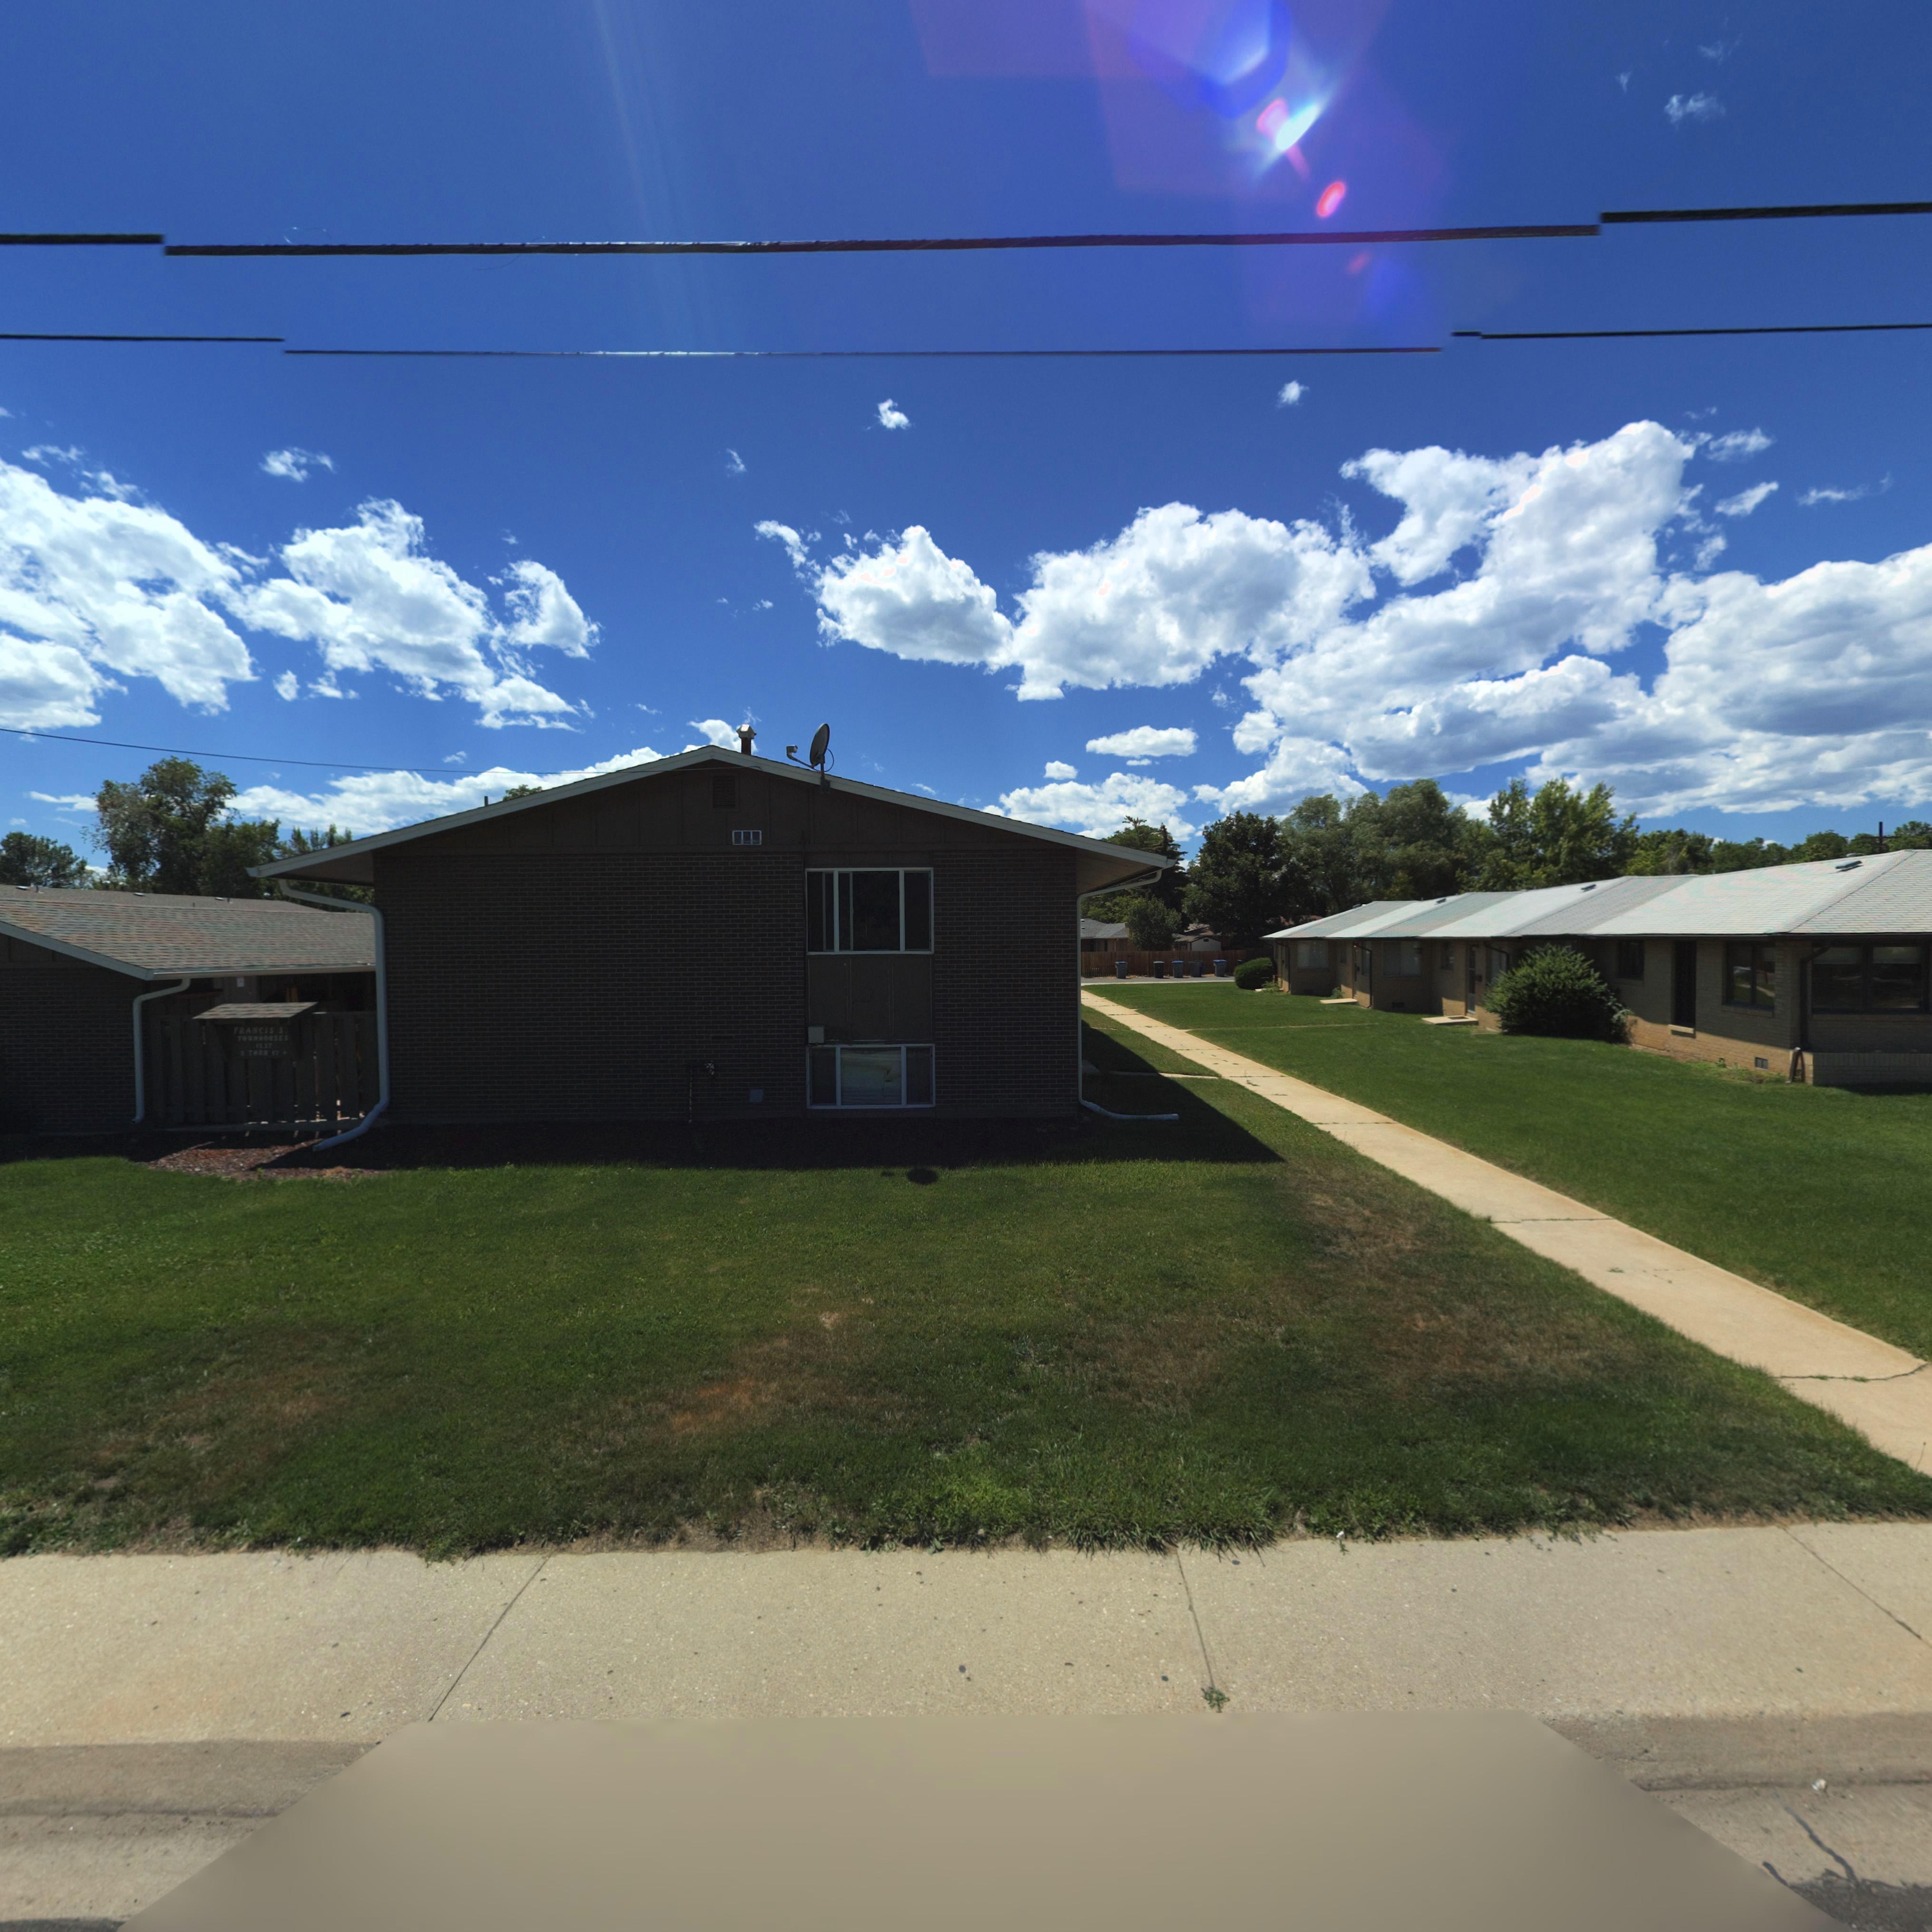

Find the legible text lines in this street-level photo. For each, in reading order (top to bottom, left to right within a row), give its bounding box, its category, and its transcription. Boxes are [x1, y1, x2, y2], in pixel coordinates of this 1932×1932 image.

[233, 1026, 284, 1034] BusinessName: FRANCIS S
[237, 1034, 289, 1042] BusinessName: TOWNHOUSES
[254, 1042, 273, 1049] StreetNumber: 1237
[270, 1050, 280, 1056] StreetNumber: 17